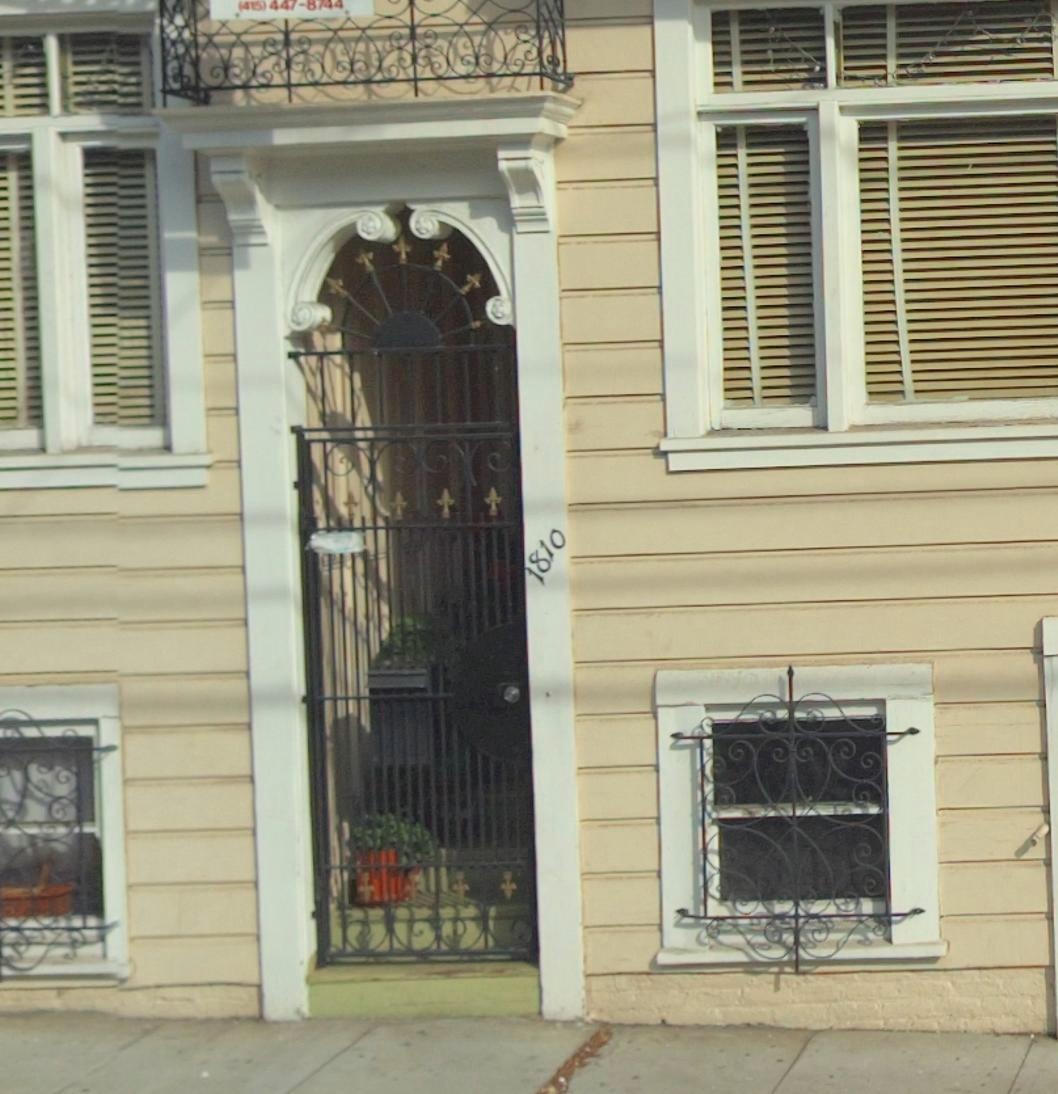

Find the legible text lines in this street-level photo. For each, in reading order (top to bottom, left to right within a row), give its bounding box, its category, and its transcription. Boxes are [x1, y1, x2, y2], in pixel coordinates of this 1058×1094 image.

[238, 0, 264, 12] None: 415
[519, 523, 572, 593] StreetNumber: 1810